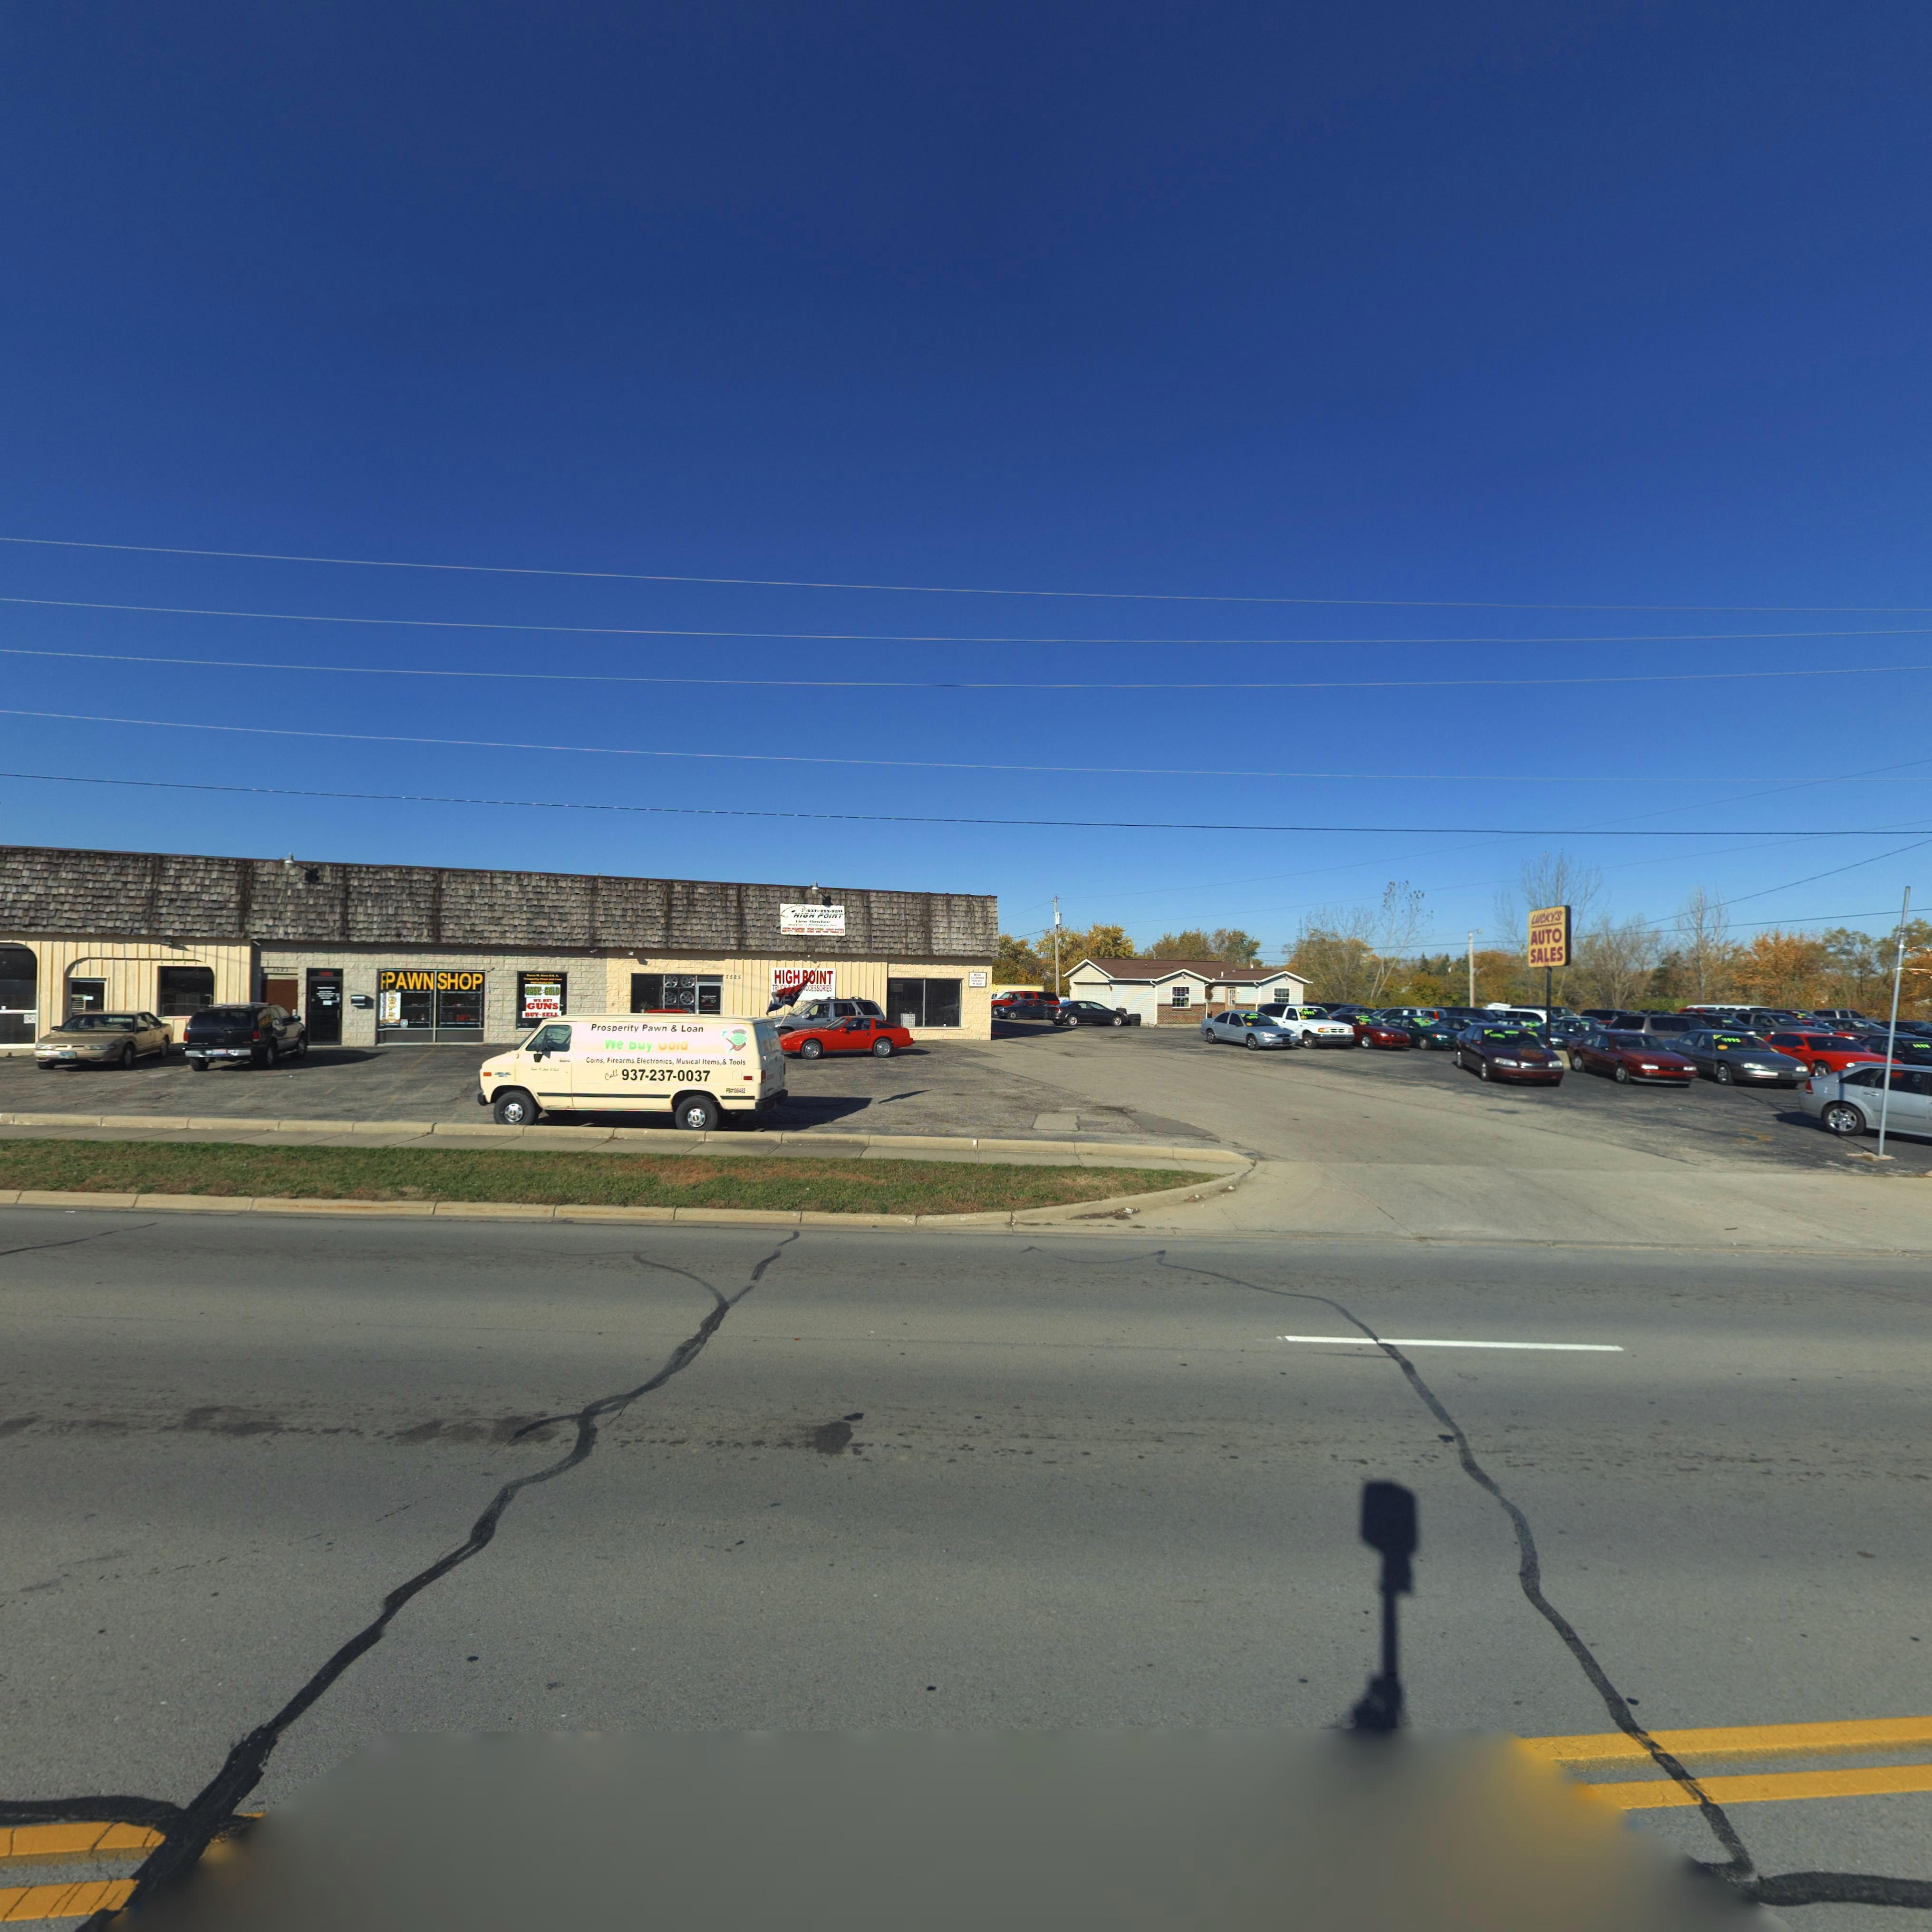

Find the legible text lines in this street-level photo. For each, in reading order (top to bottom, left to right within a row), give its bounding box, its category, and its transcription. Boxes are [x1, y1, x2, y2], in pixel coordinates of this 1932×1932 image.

[792, 912, 844, 919] BusinessName: HIGH POINT
[1530, 909, 1563, 926] BusinessName: LUCKY'S
[1529, 927, 1563, 946] BusinessName: AUTO
[1530, 945, 1564, 964] BusinessName: SALES
[725, 974, 742, 980] StreetNumber: 7525
[774, 969, 834, 985] BusinessName: HIGH **INT
[525, 985, 560, 996] BusinessName: CASH4GOLD
[807, 985, 832, 992] BusinessName: CESSORIES